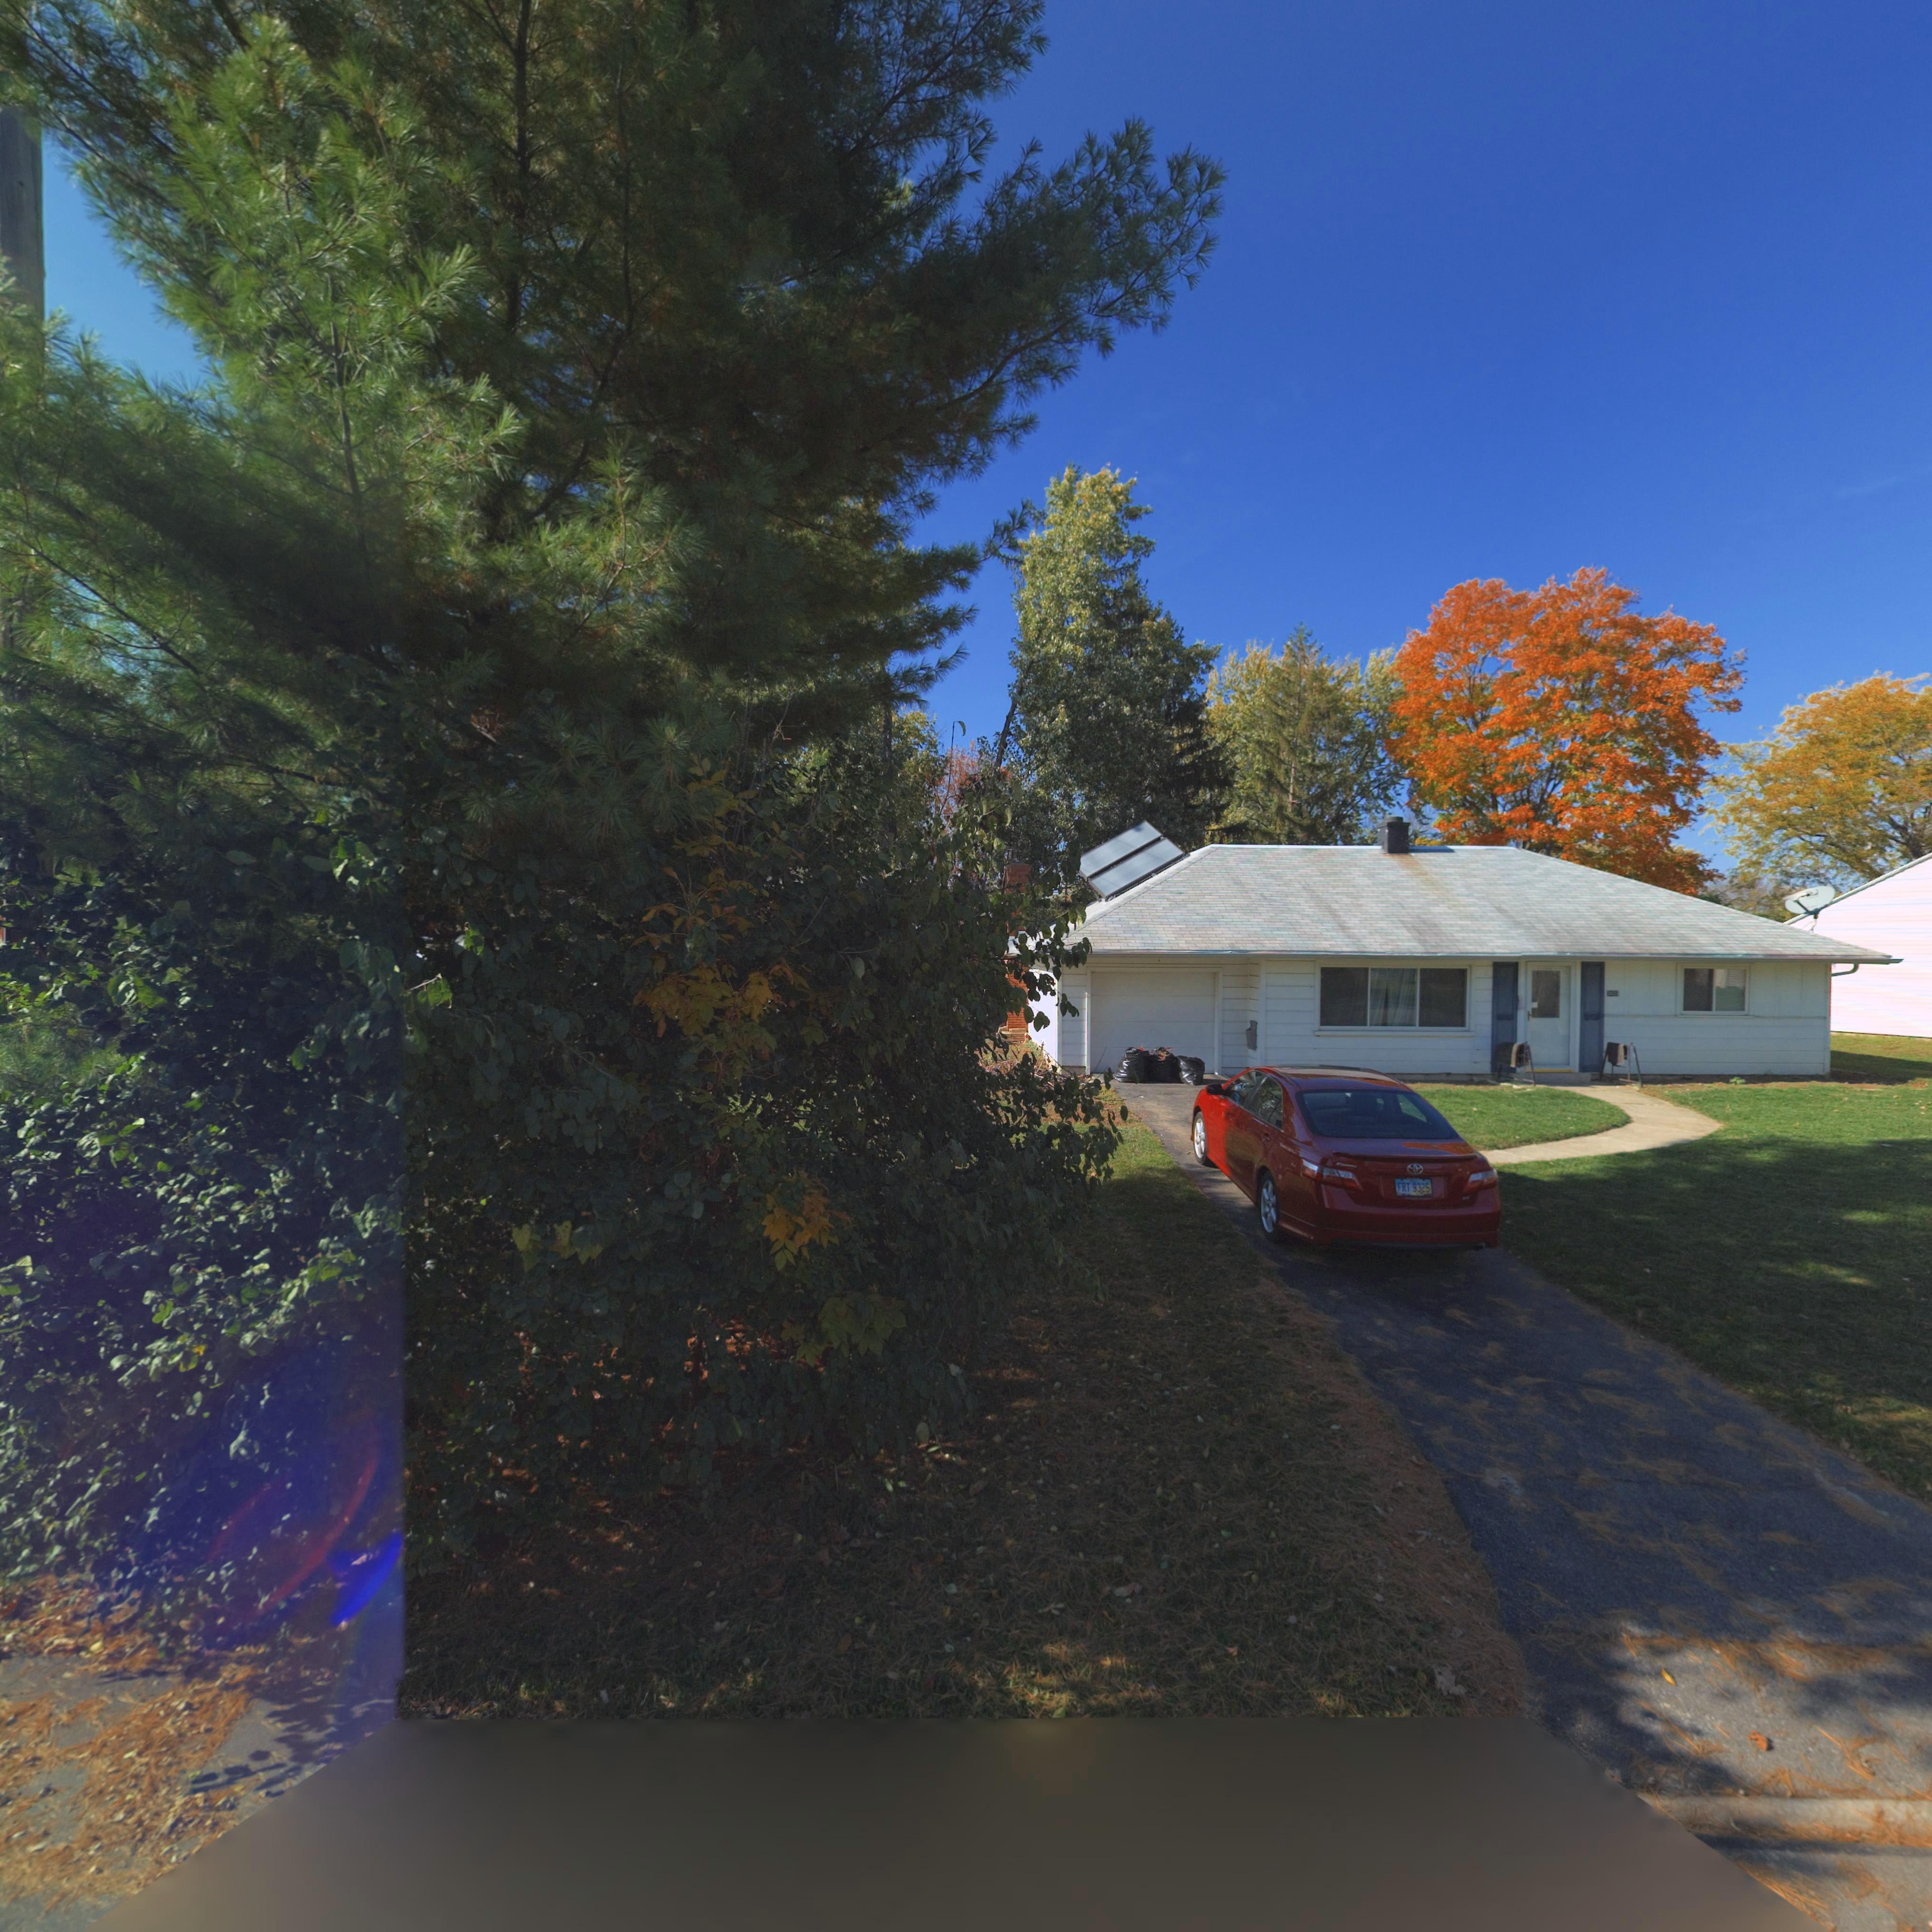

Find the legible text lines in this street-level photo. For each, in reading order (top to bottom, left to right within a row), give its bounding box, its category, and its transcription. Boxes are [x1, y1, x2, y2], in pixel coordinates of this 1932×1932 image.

[1607, 991, 1618, 996] StreetNumber: 3833
[1336, 1161, 1358, 1169] None: CAMRY
[1397, 1182, 1430, 1192] None: FRT 9325